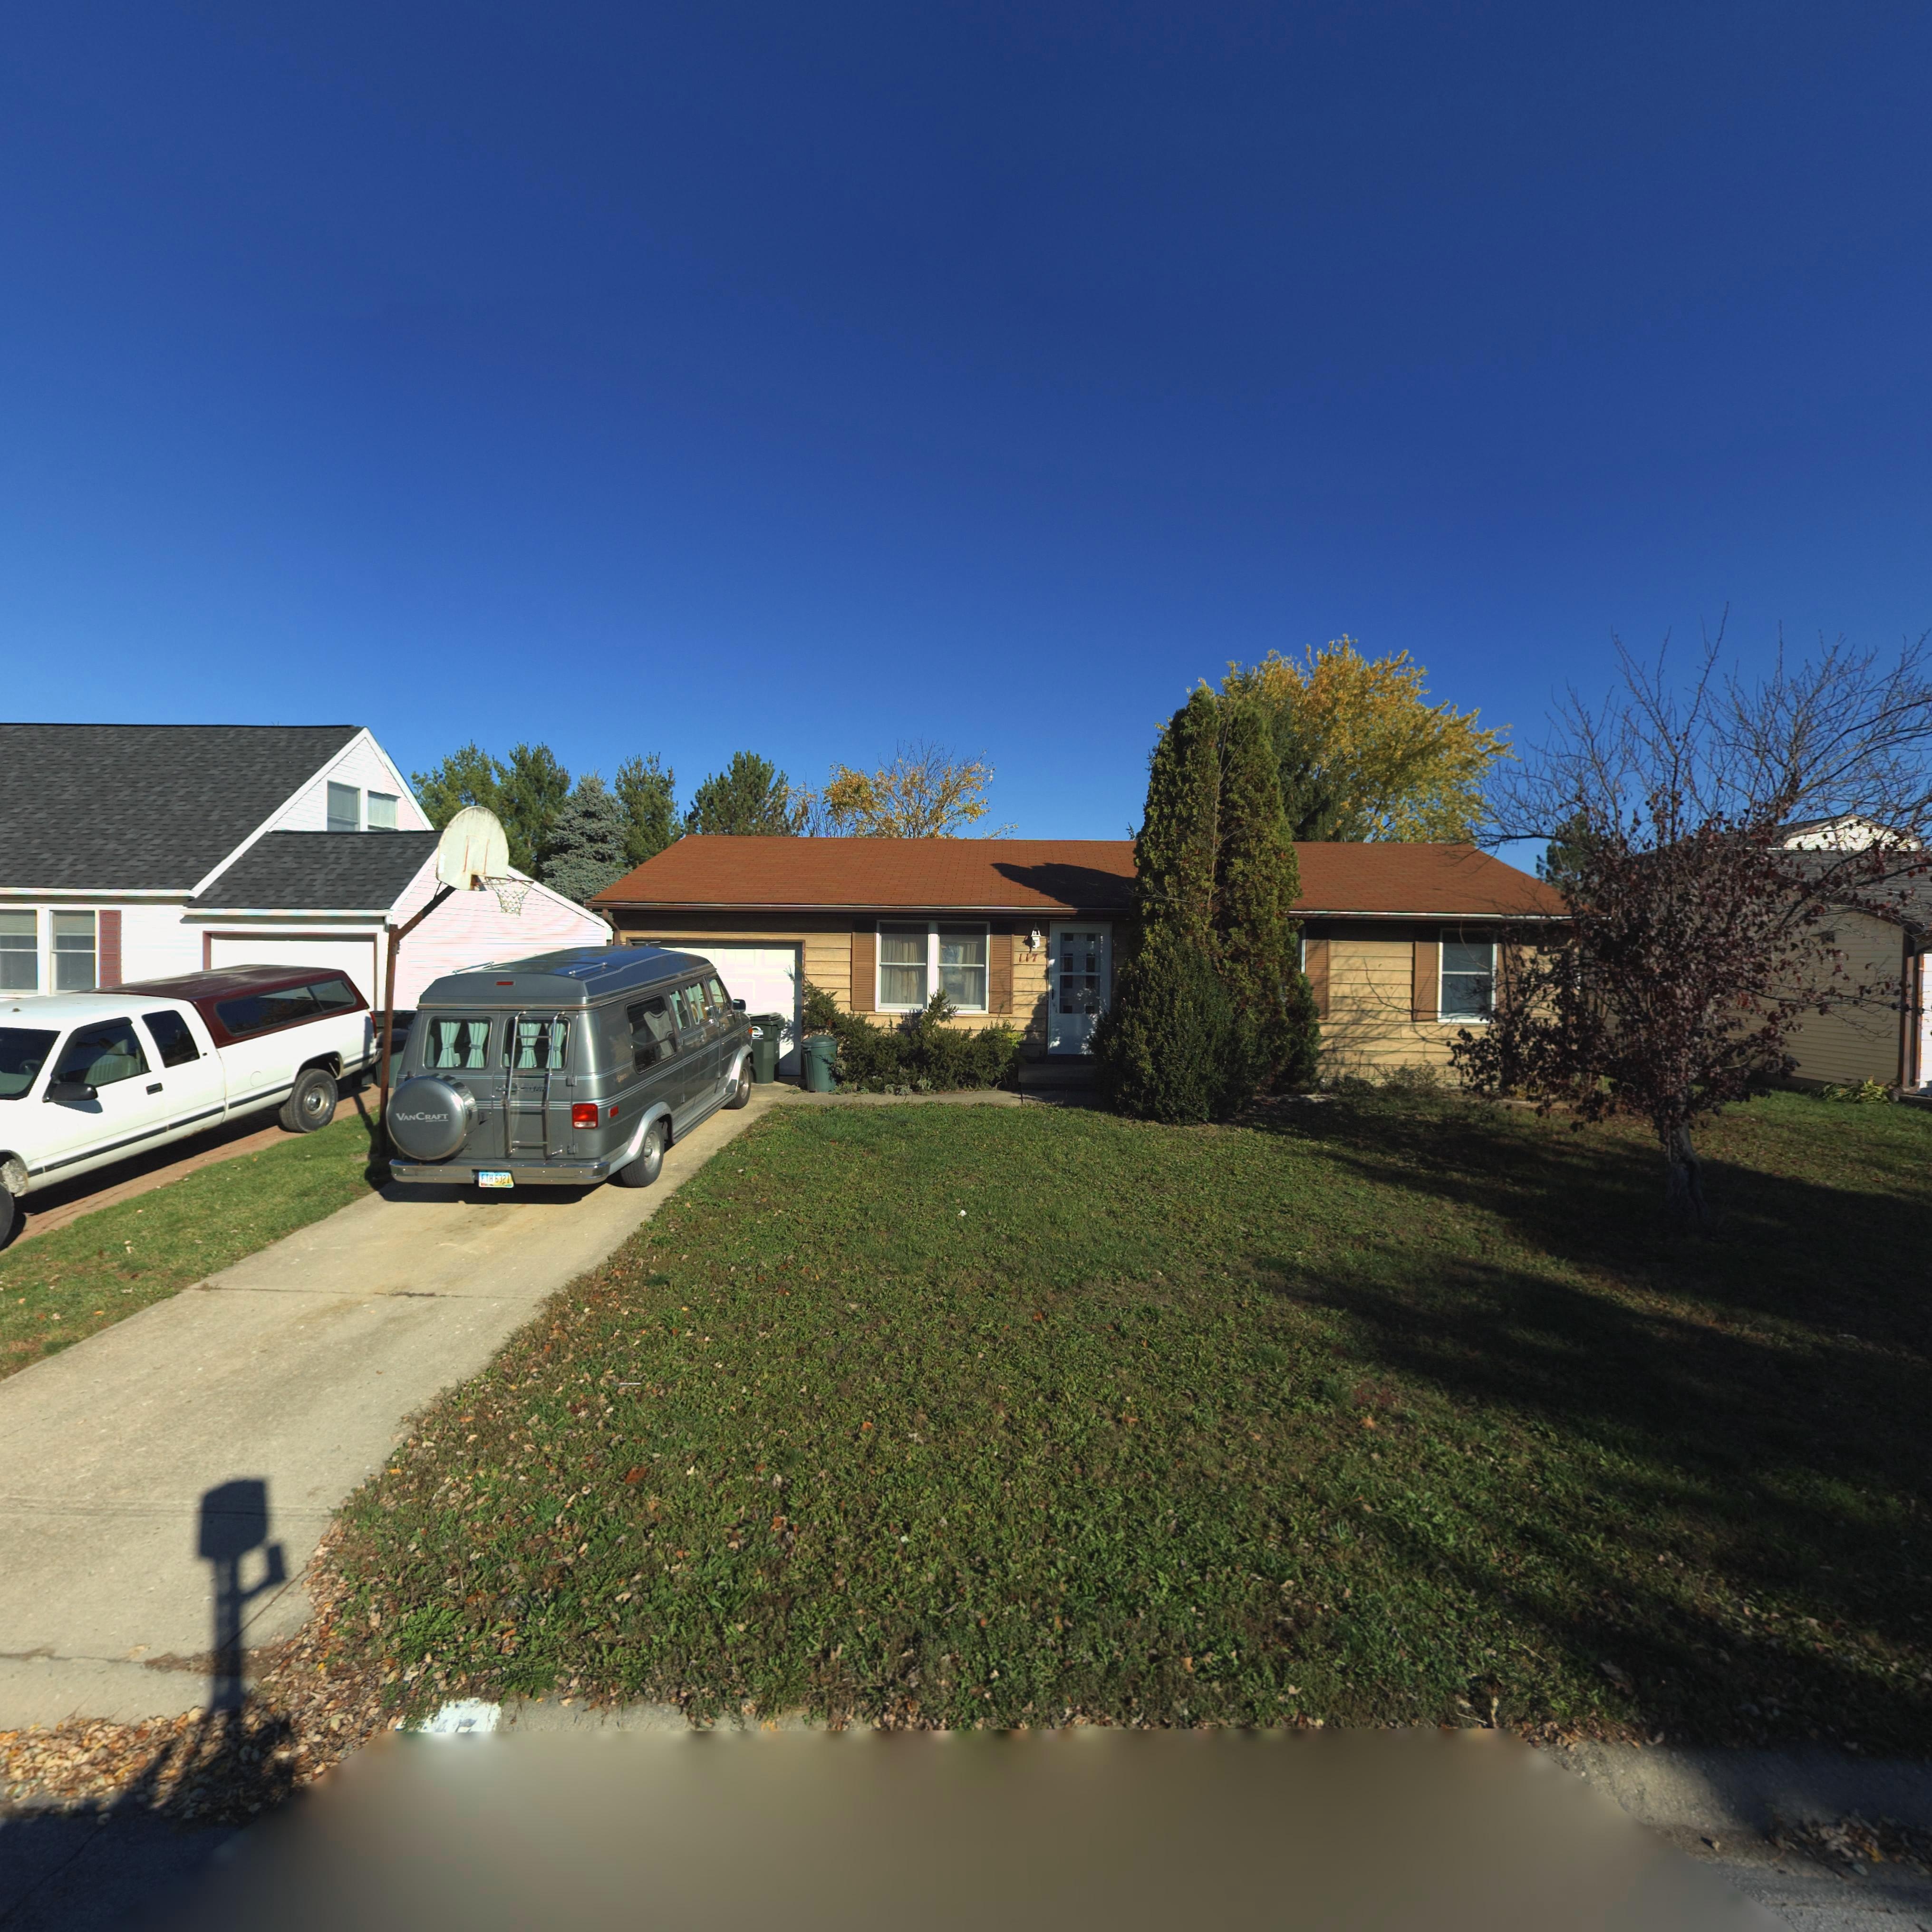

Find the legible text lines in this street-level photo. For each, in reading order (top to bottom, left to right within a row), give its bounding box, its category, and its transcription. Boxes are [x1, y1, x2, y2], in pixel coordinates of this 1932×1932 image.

[1017, 952, 1039, 962] StreetNumber: 117